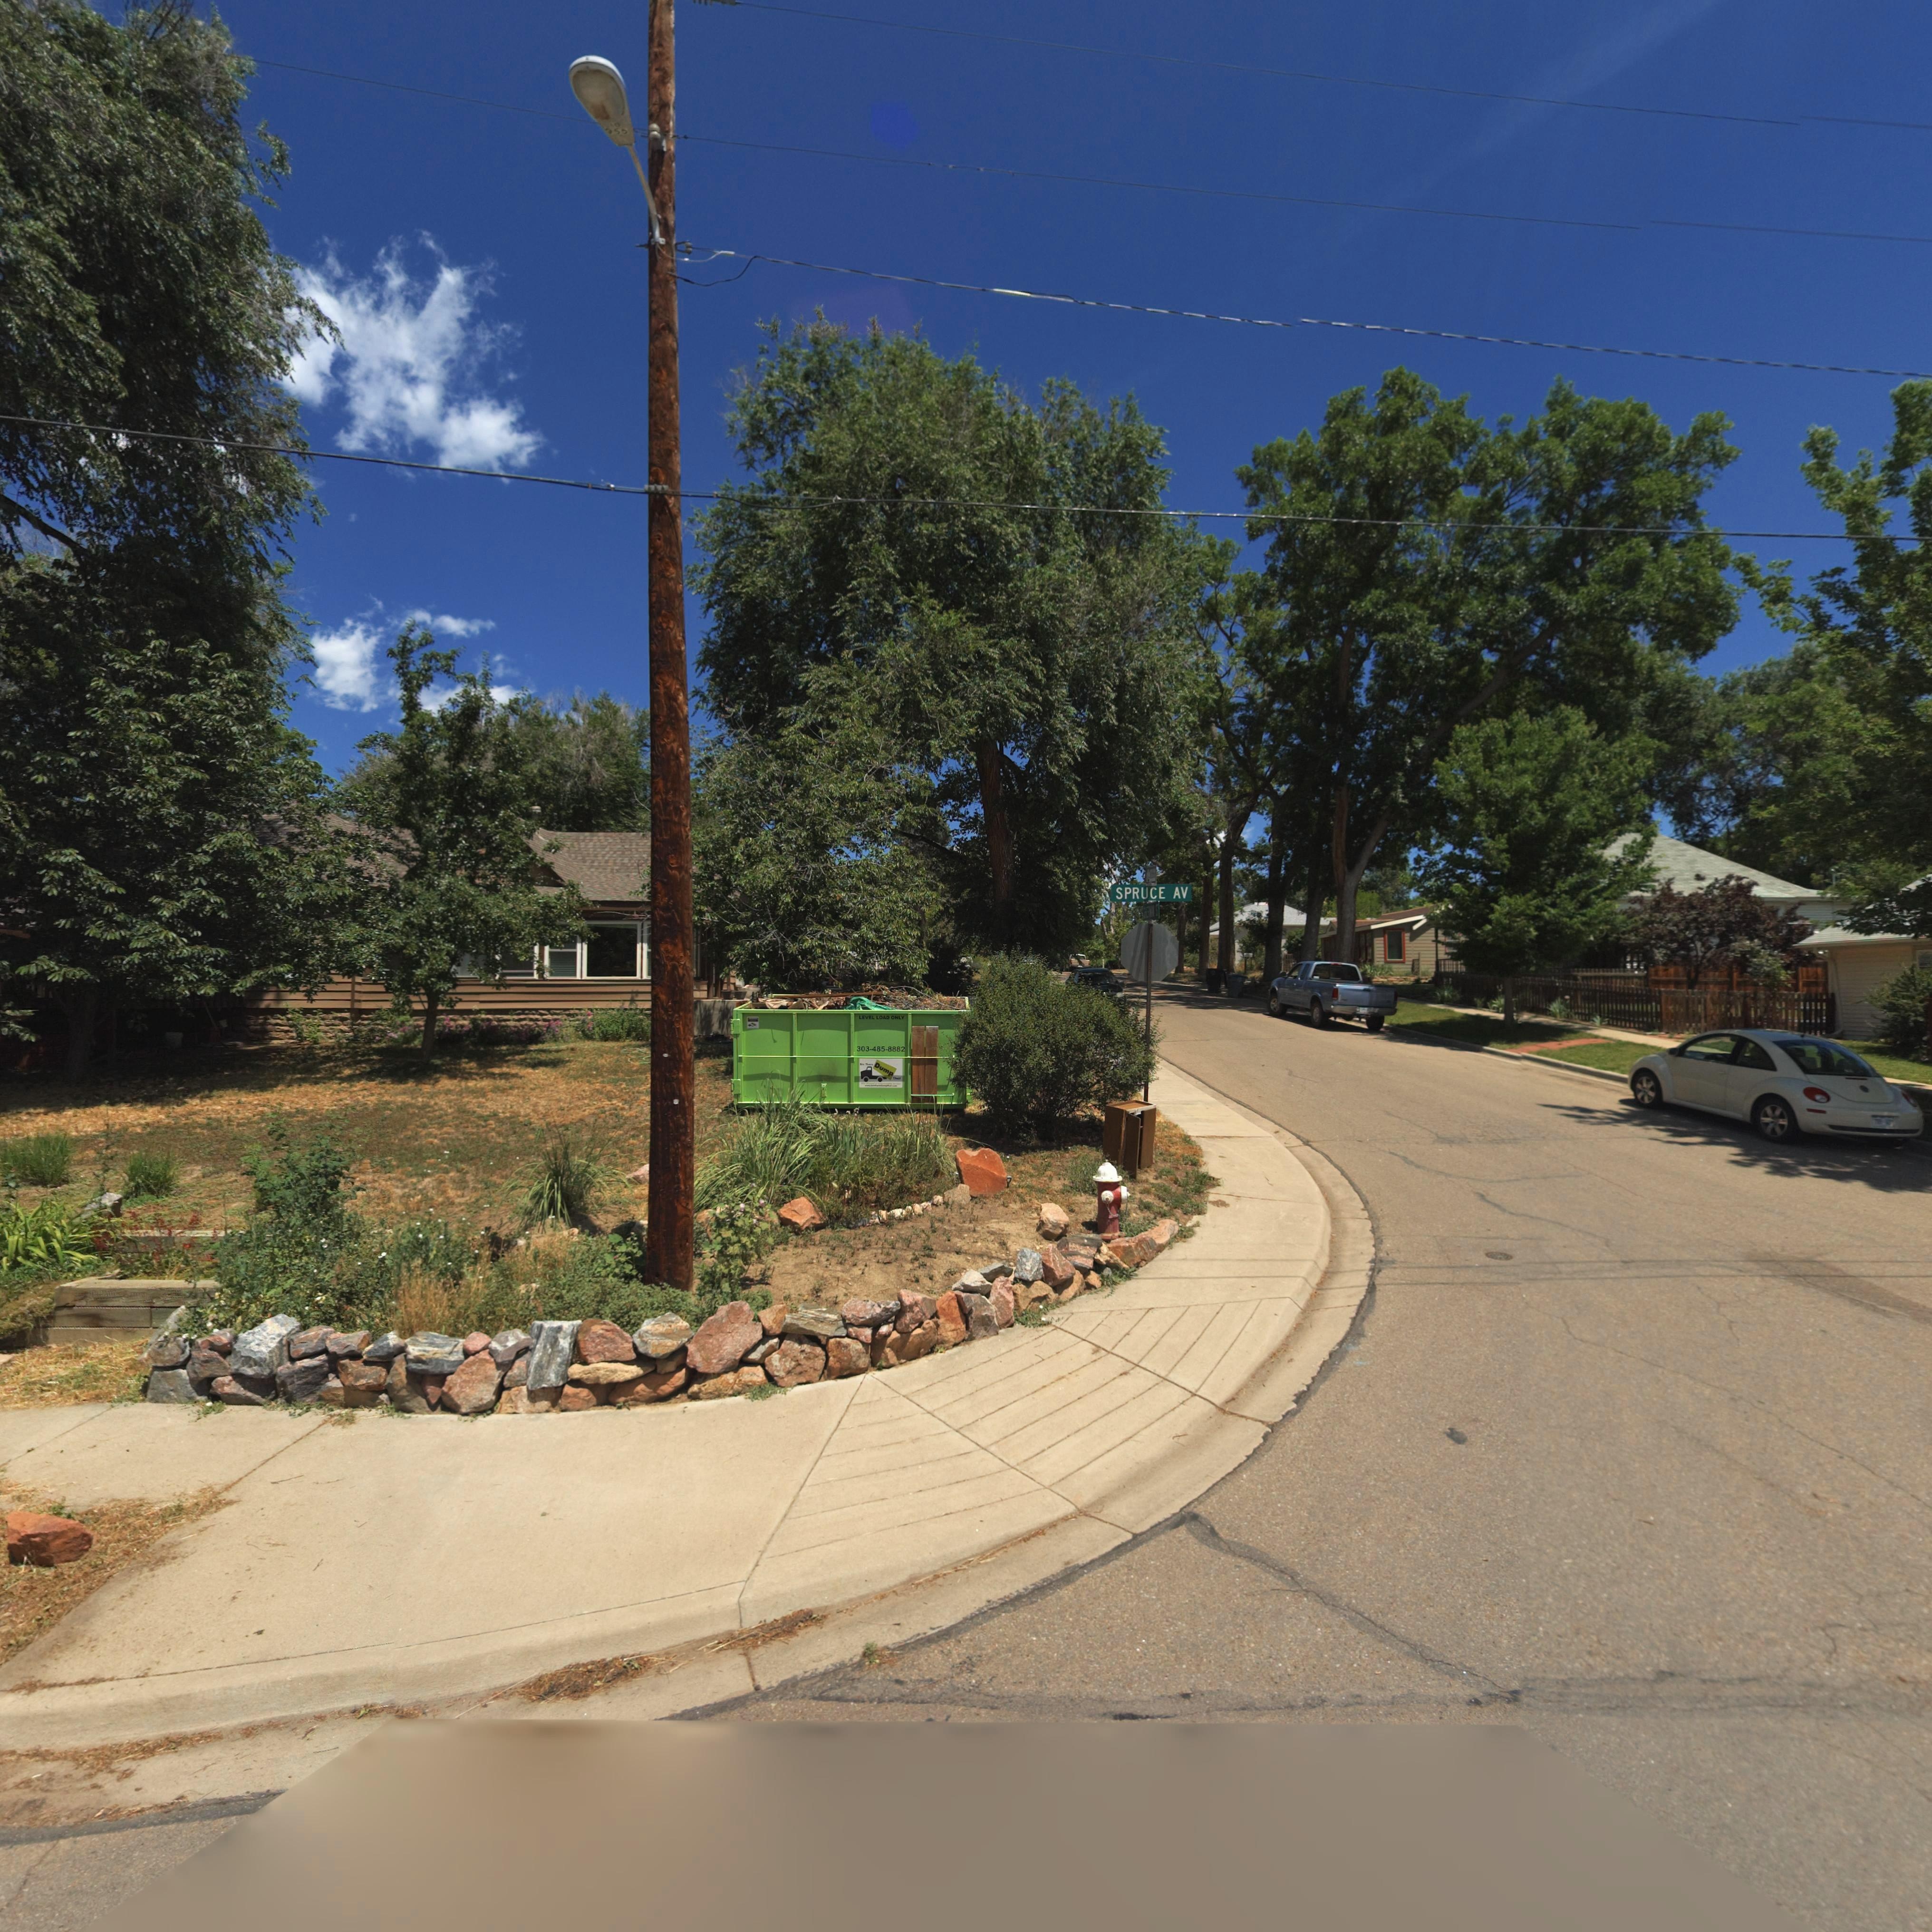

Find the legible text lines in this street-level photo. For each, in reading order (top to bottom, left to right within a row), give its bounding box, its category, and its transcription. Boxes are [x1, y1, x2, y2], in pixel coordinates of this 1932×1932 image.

[1116, 887, 1188, 899] StreetName: SPRUCE AV
[1143, 907, 1149, 918] StreetName: S*E